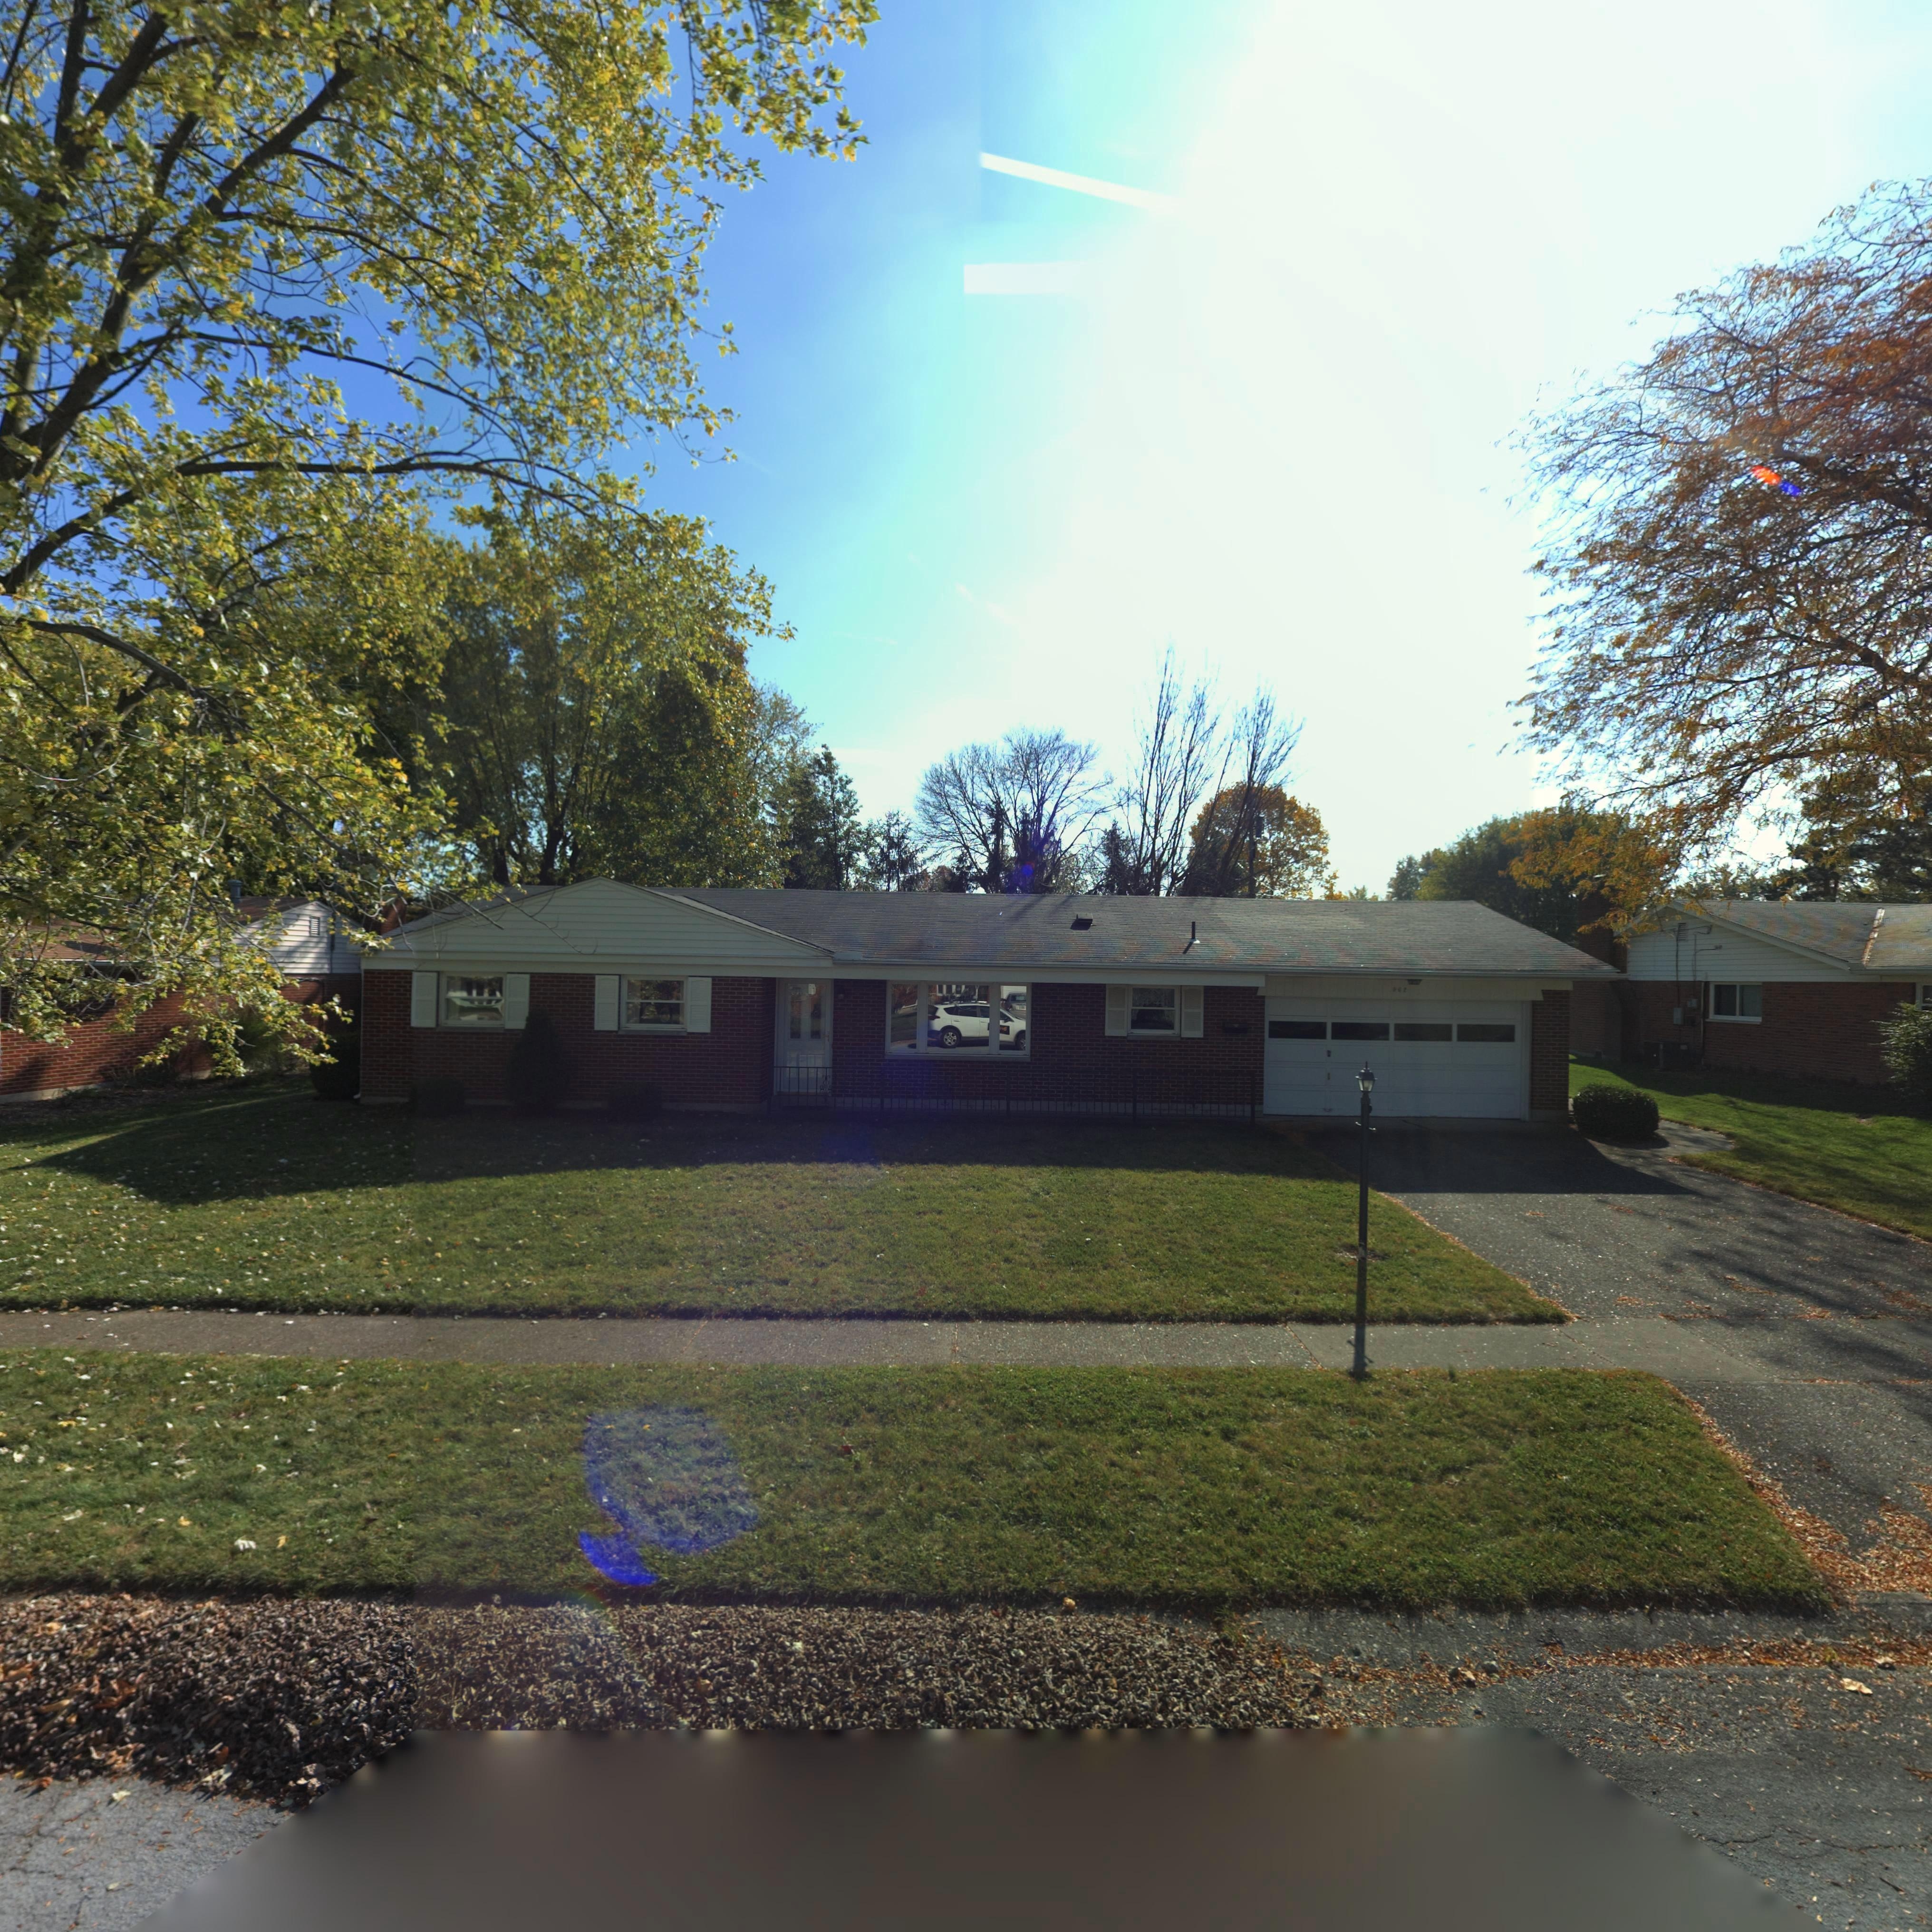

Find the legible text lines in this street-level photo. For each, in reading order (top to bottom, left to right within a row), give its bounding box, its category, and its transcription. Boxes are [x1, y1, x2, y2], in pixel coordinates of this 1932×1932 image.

[1391, 986, 1407, 993] StreetNumber: 962